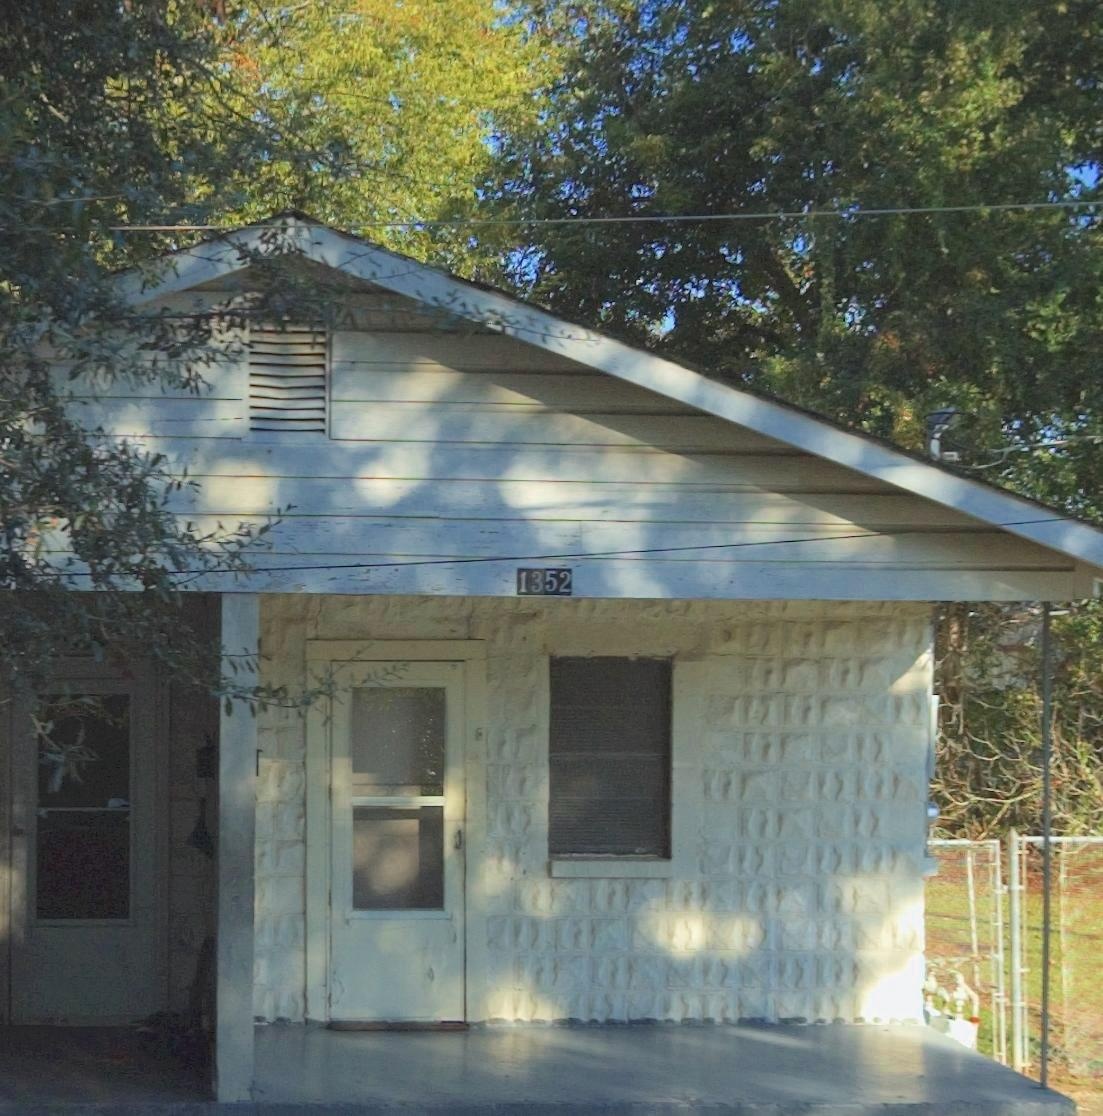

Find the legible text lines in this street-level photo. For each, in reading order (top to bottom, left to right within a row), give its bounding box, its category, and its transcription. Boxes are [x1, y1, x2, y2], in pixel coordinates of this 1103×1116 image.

[517, 568, 573, 595] StreetNumber: 1352